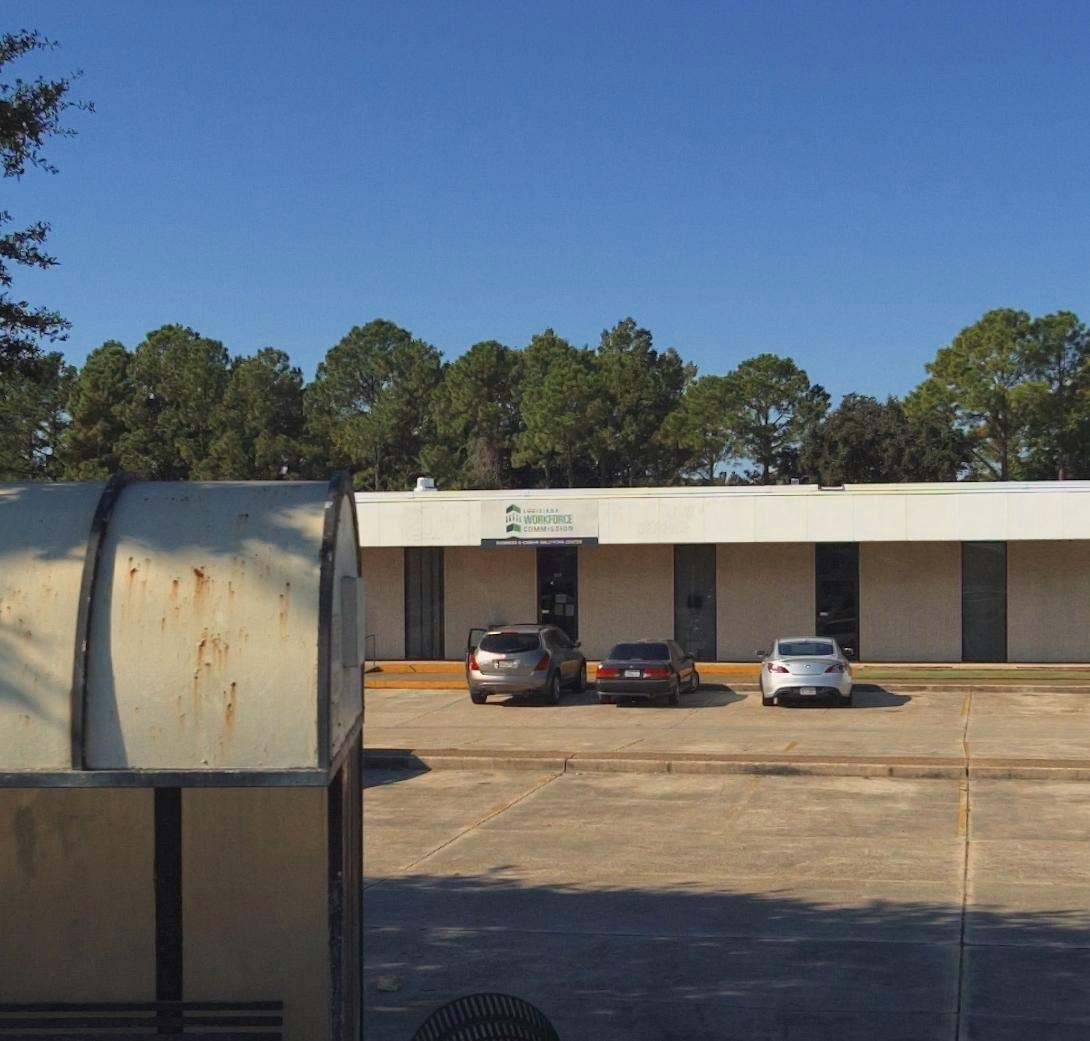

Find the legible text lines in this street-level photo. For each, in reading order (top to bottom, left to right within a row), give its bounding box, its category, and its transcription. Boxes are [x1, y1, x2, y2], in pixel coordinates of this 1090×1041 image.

[521, 512, 575, 526] BusinessName: WORKFORCE
[521, 524, 575, 534] BusinessName: COMMISSION